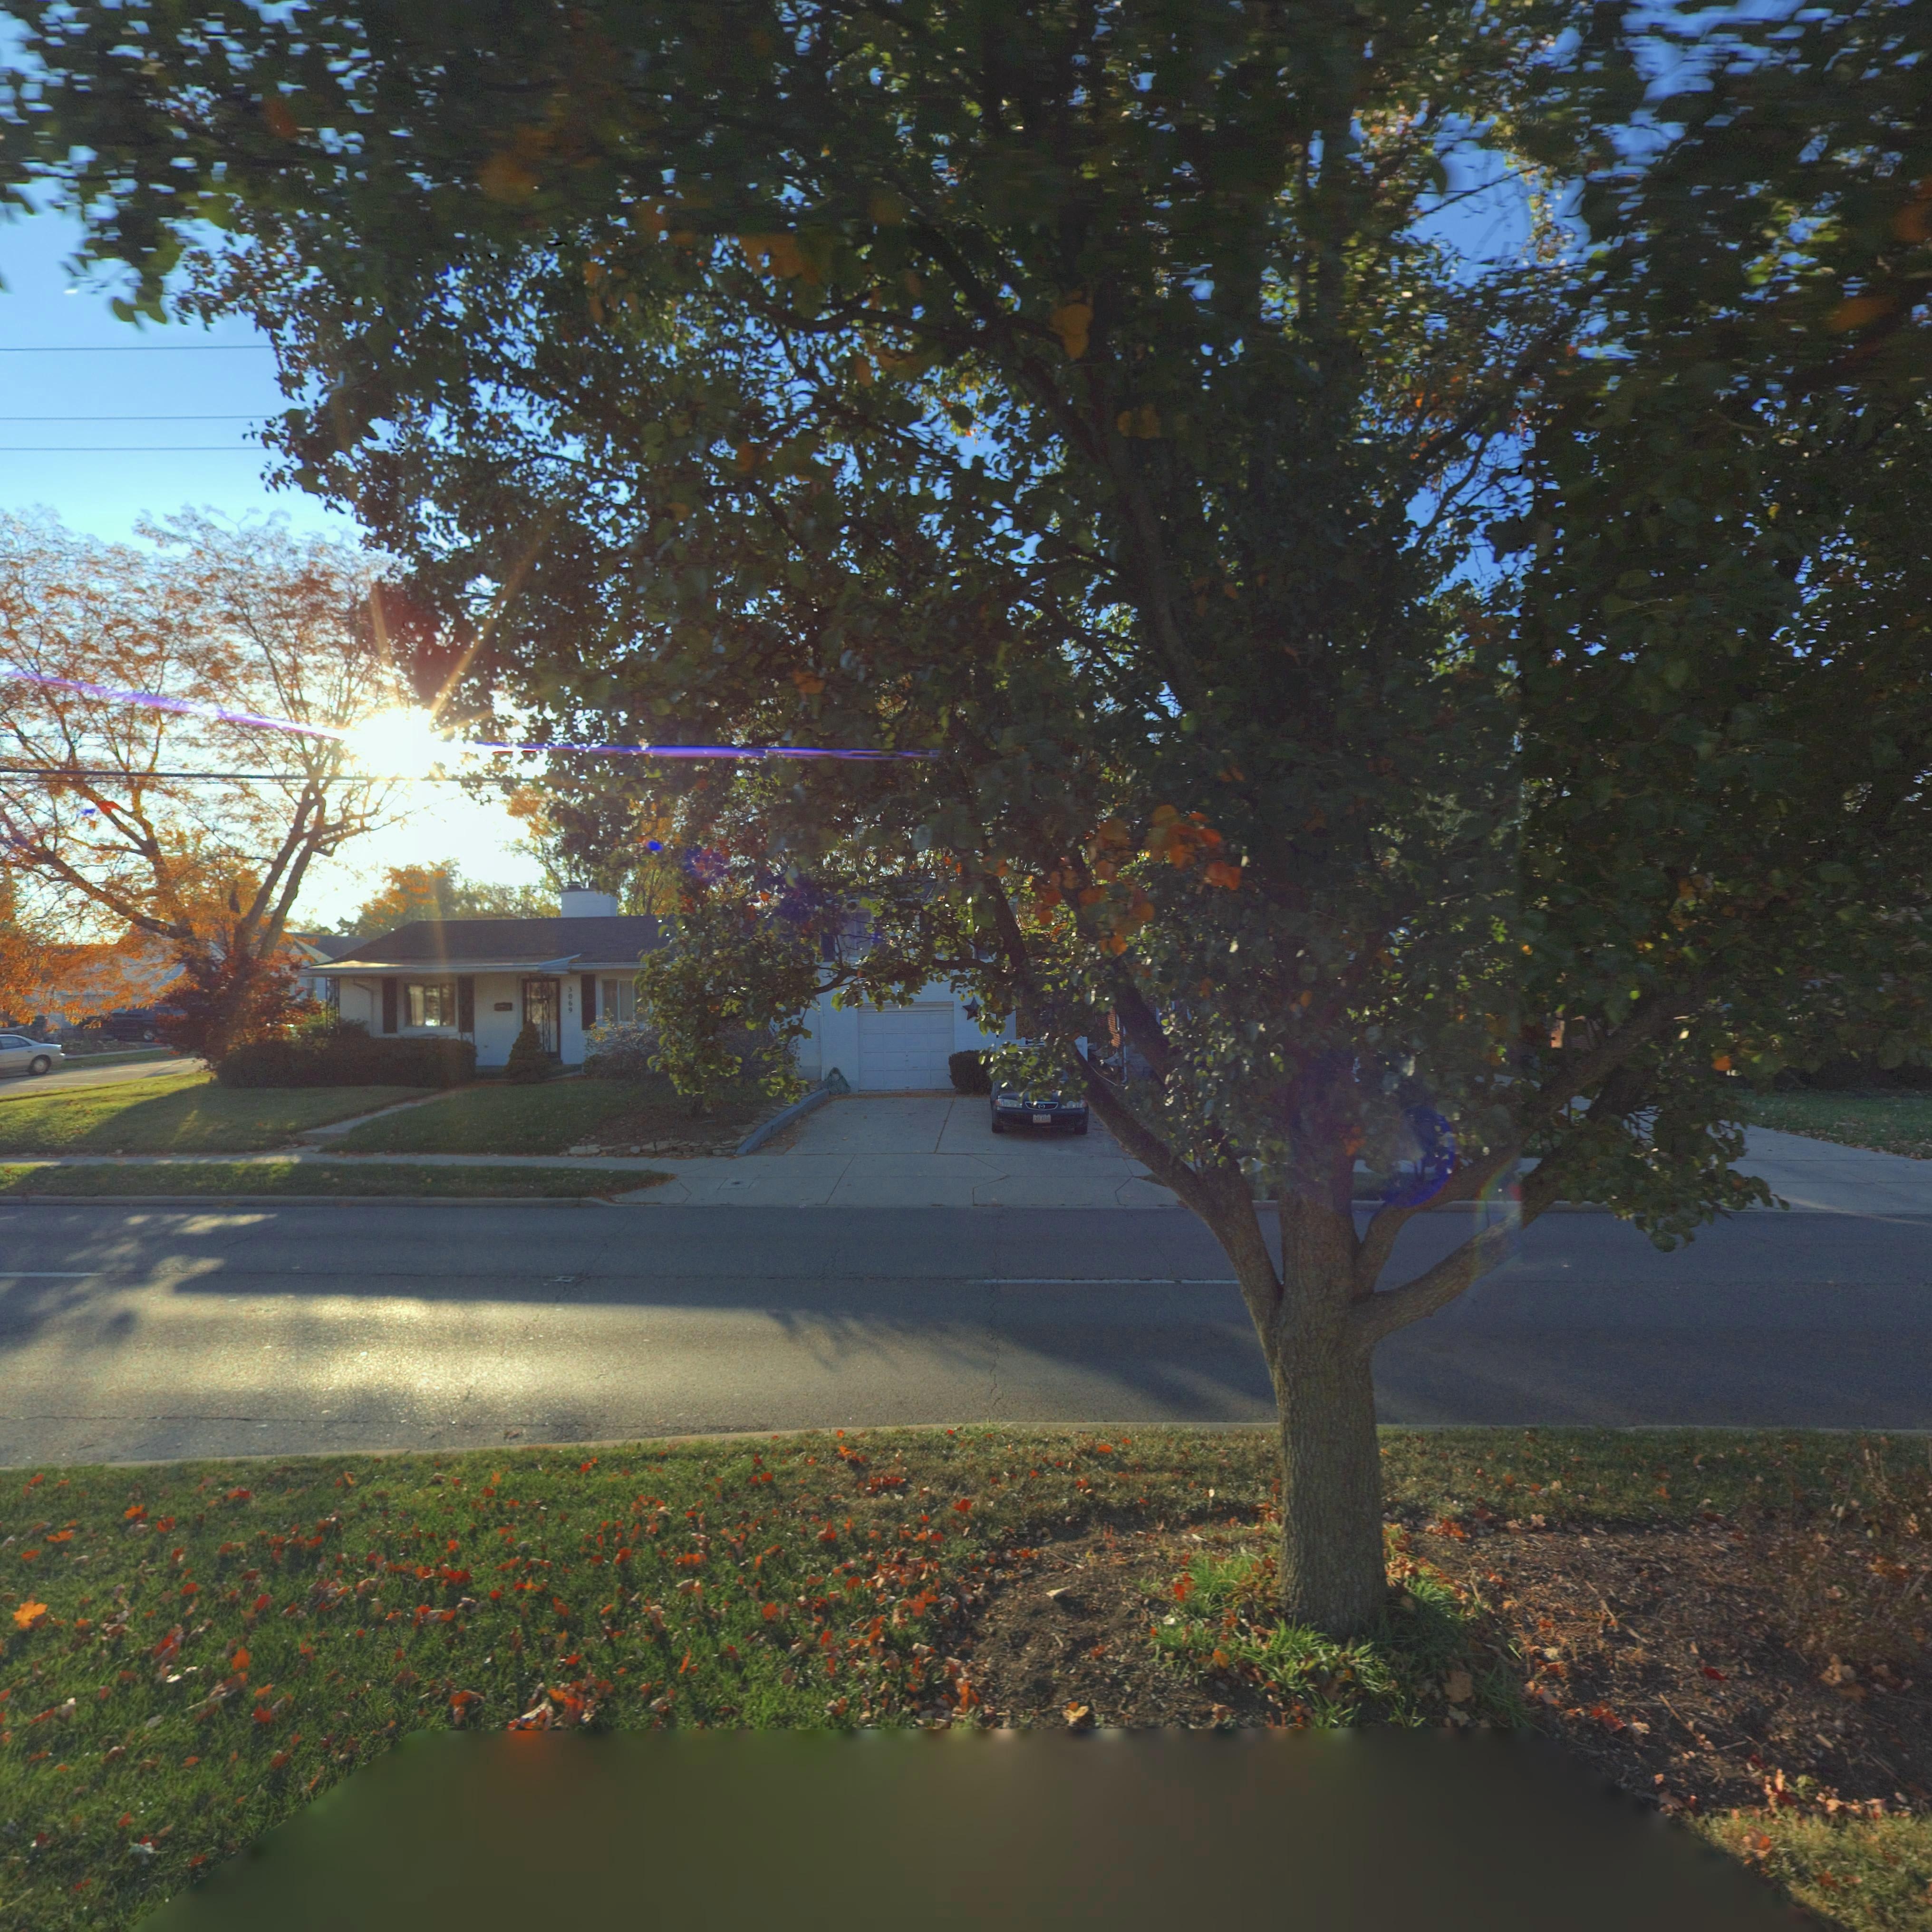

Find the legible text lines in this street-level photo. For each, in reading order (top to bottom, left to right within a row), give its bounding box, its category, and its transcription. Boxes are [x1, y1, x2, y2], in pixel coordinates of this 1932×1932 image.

[567, 986, 574, 1014] StreetNumber: 3069